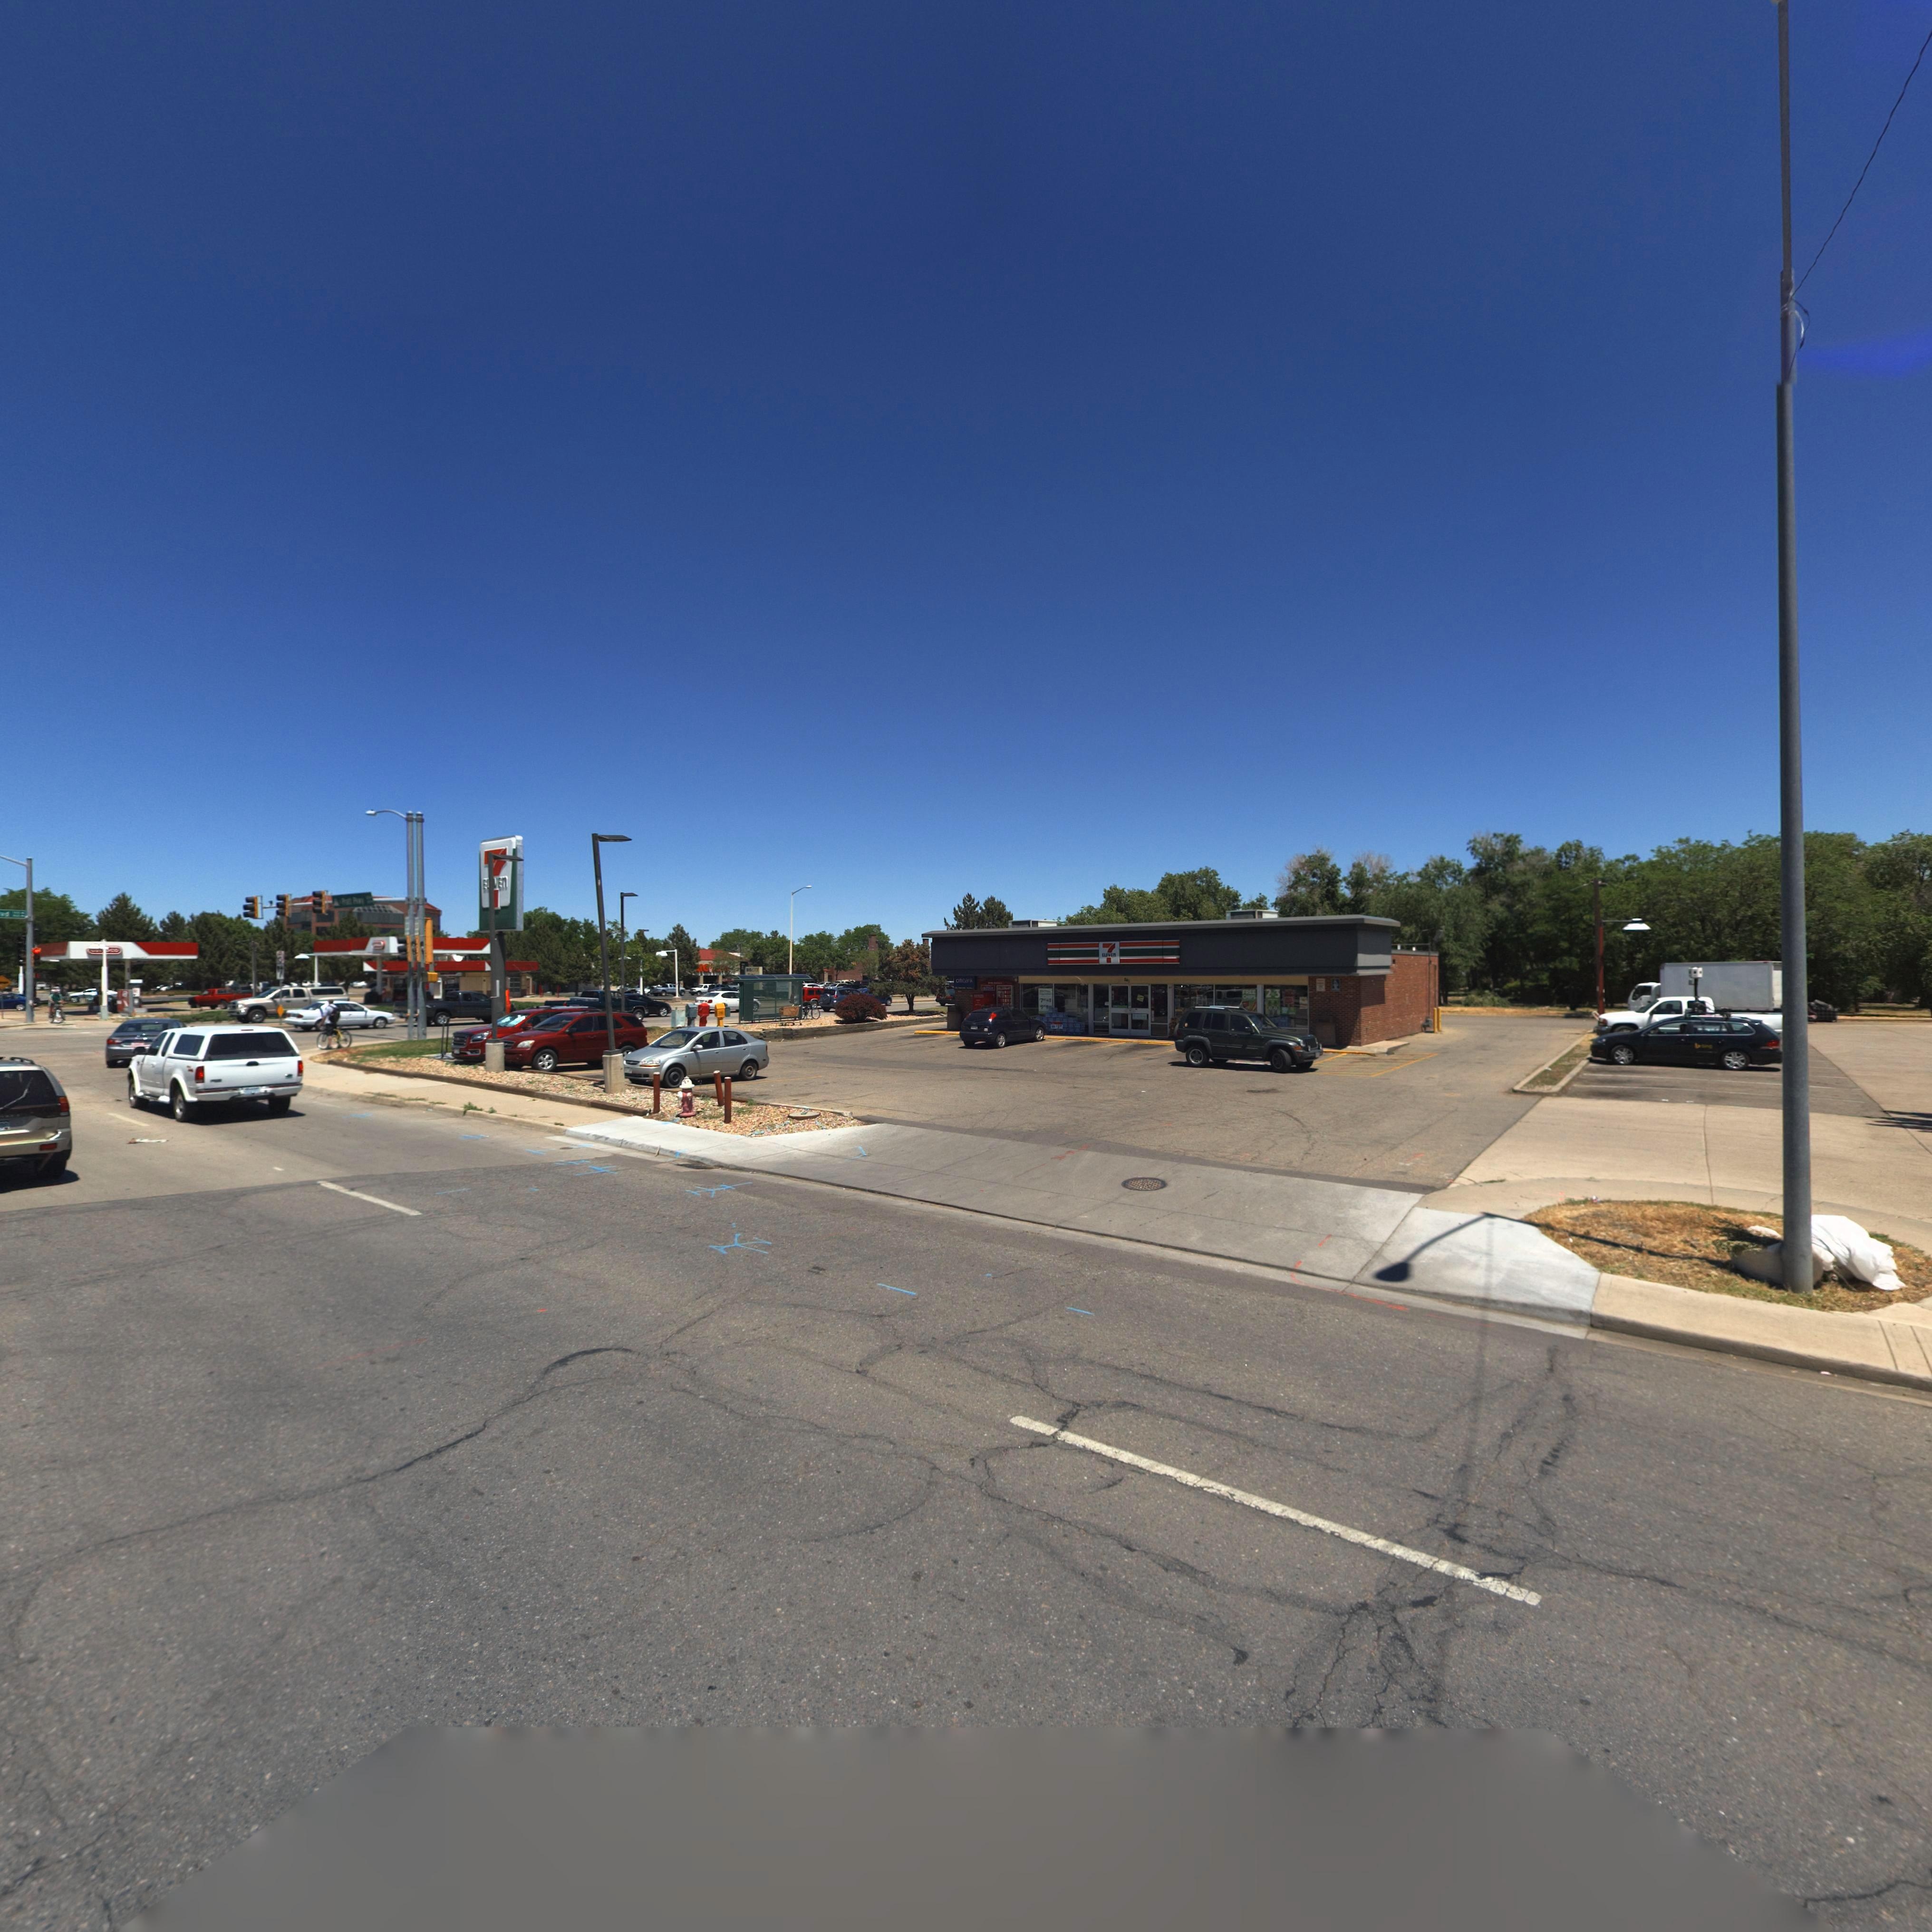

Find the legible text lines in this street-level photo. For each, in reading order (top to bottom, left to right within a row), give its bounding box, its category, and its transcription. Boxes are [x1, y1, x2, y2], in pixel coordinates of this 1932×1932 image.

[483, 875, 508, 890] BusinessName: E***EN
[341, 897, 365, 906] StreetName: Pratt Pkwy
[1, 911, 9, 916] StreetName: vd
[90, 948, 119, 952] BusinessName: ****co
[1101, 942, 1116, 963] BusinessName: 7
[1101, 952, 1116, 957] BusinessName: ELEVEN
[694, 964, 709, 972] BusinessName: *I*
[745, 967, 759, 972] BusinessName: BIG LOTS!
[1123, 977, 1130, 984] StreetNumber: 841